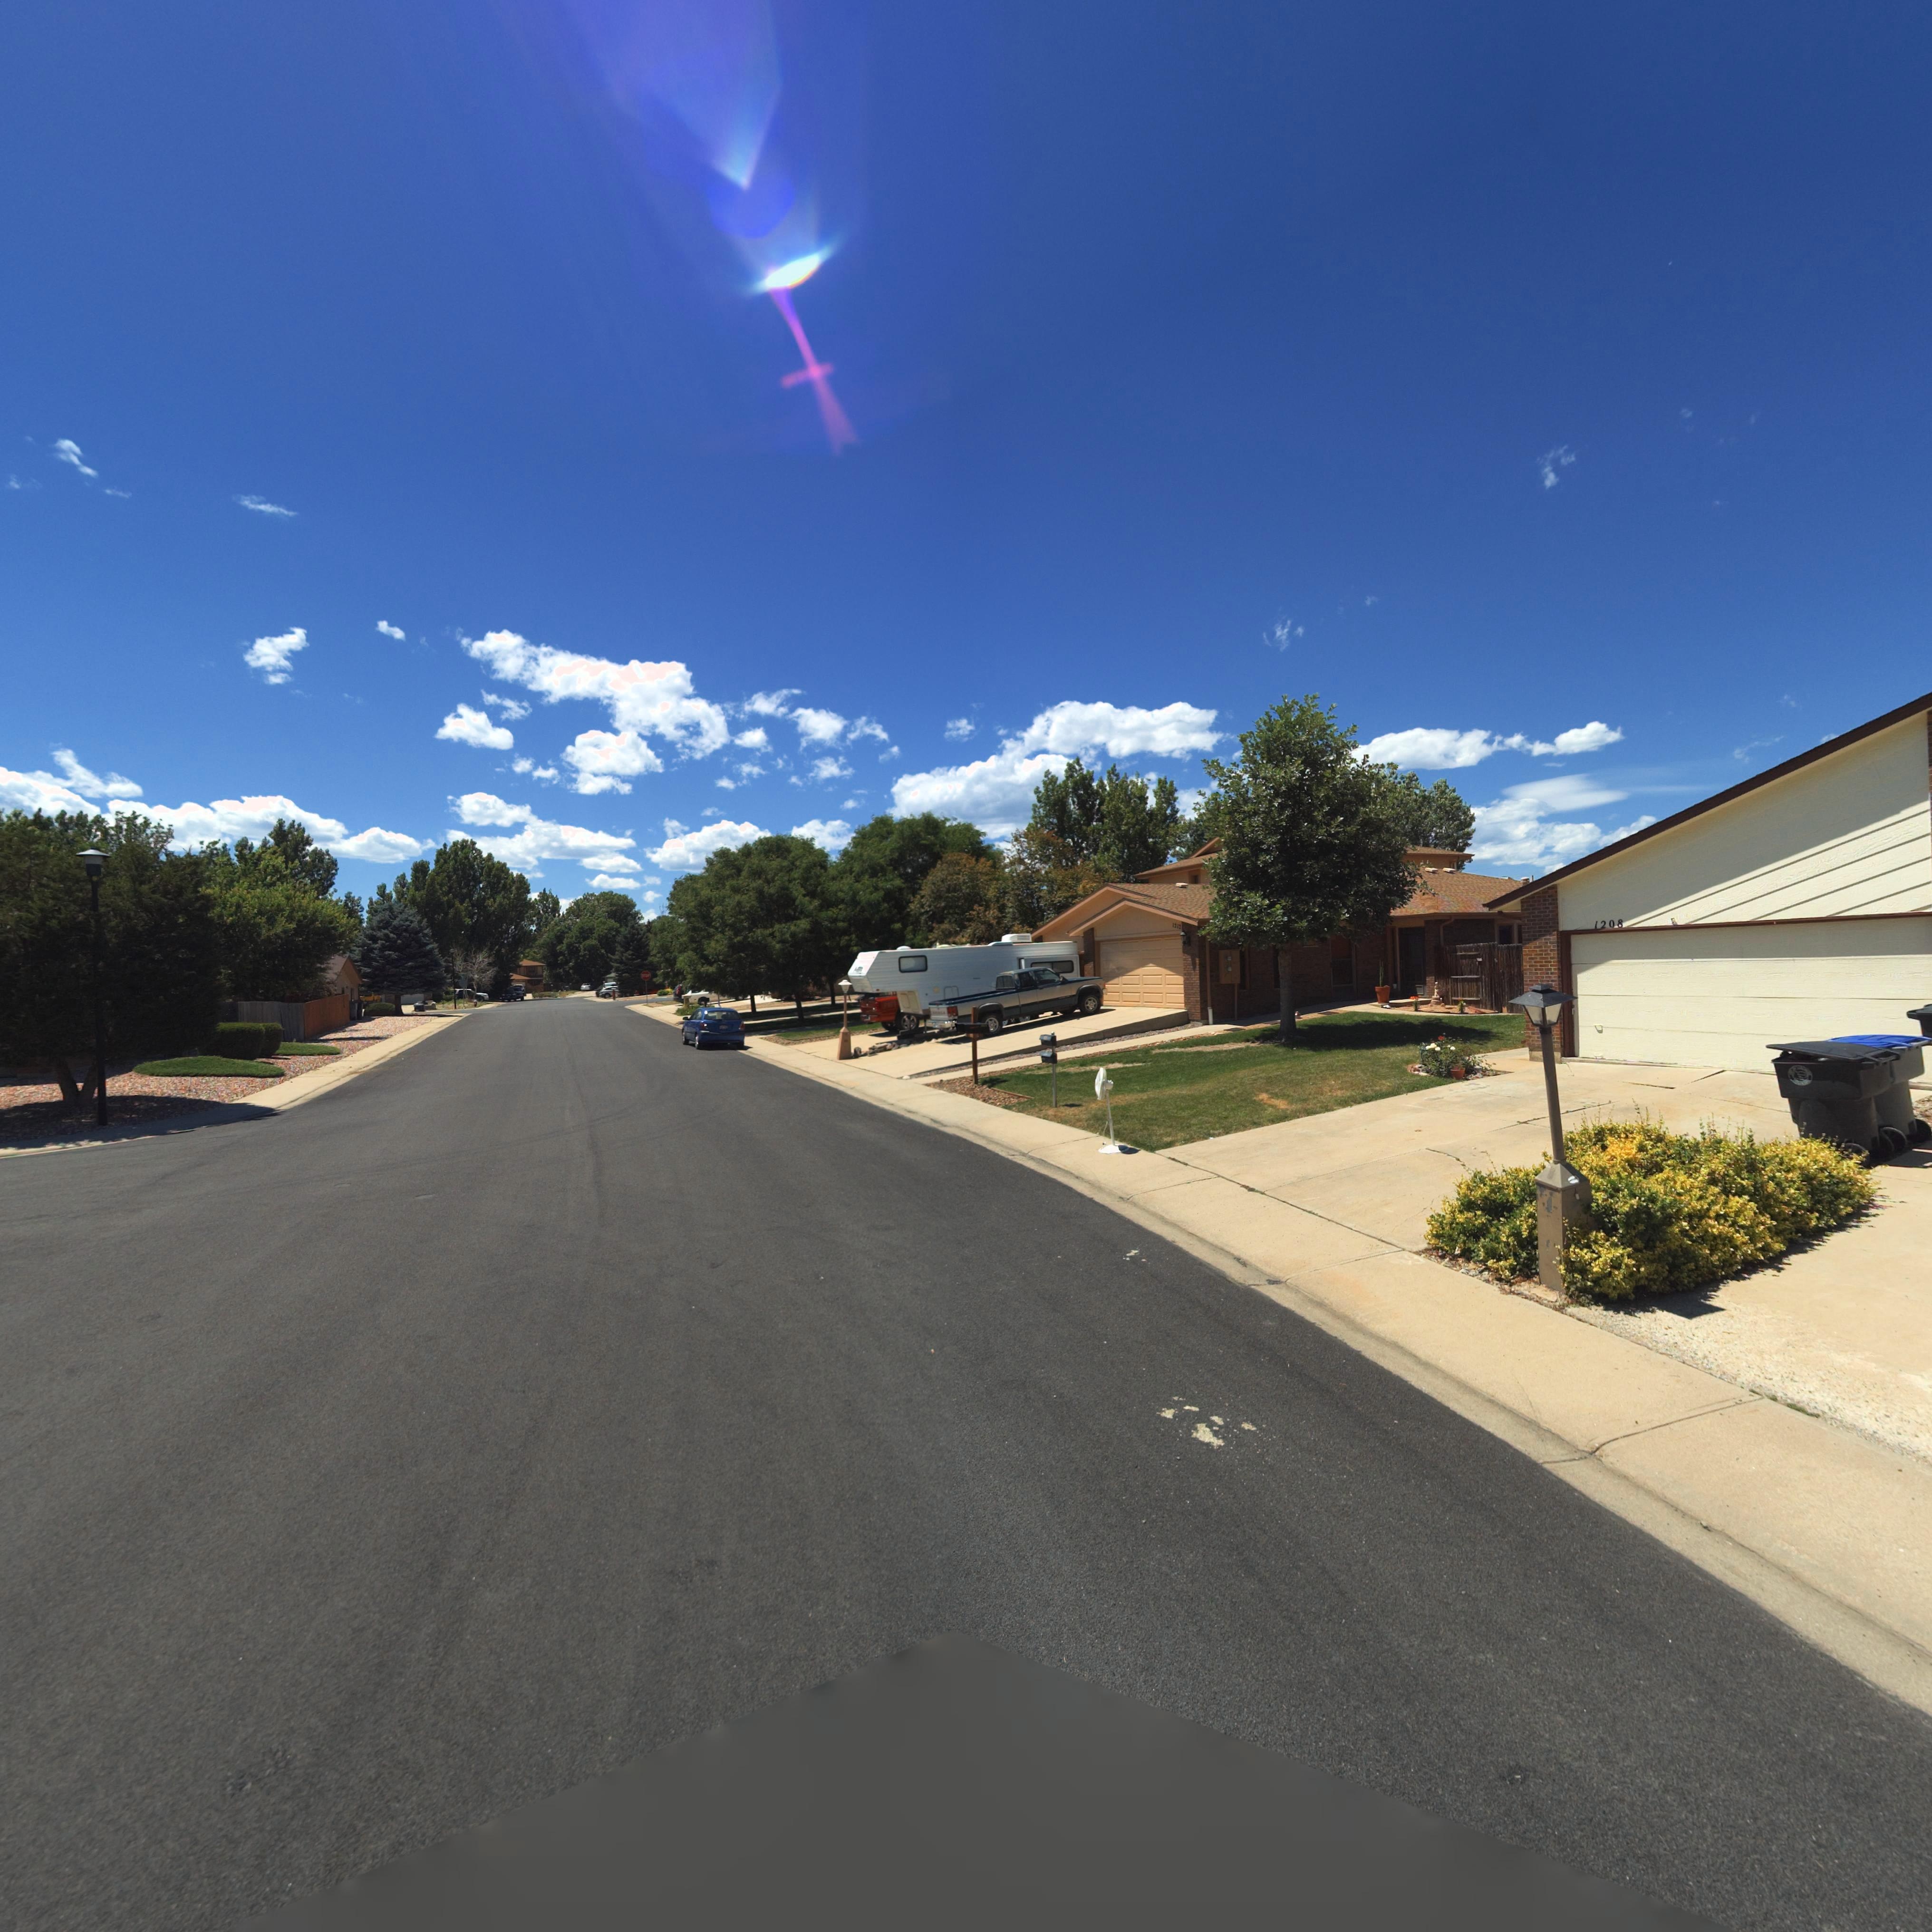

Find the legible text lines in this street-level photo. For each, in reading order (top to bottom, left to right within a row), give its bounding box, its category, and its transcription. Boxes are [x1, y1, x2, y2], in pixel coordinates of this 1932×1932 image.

[1172, 922, 1181, 929] StreetNumber: 1212
[1594, 918, 1623, 929] StreetNumber: 1208